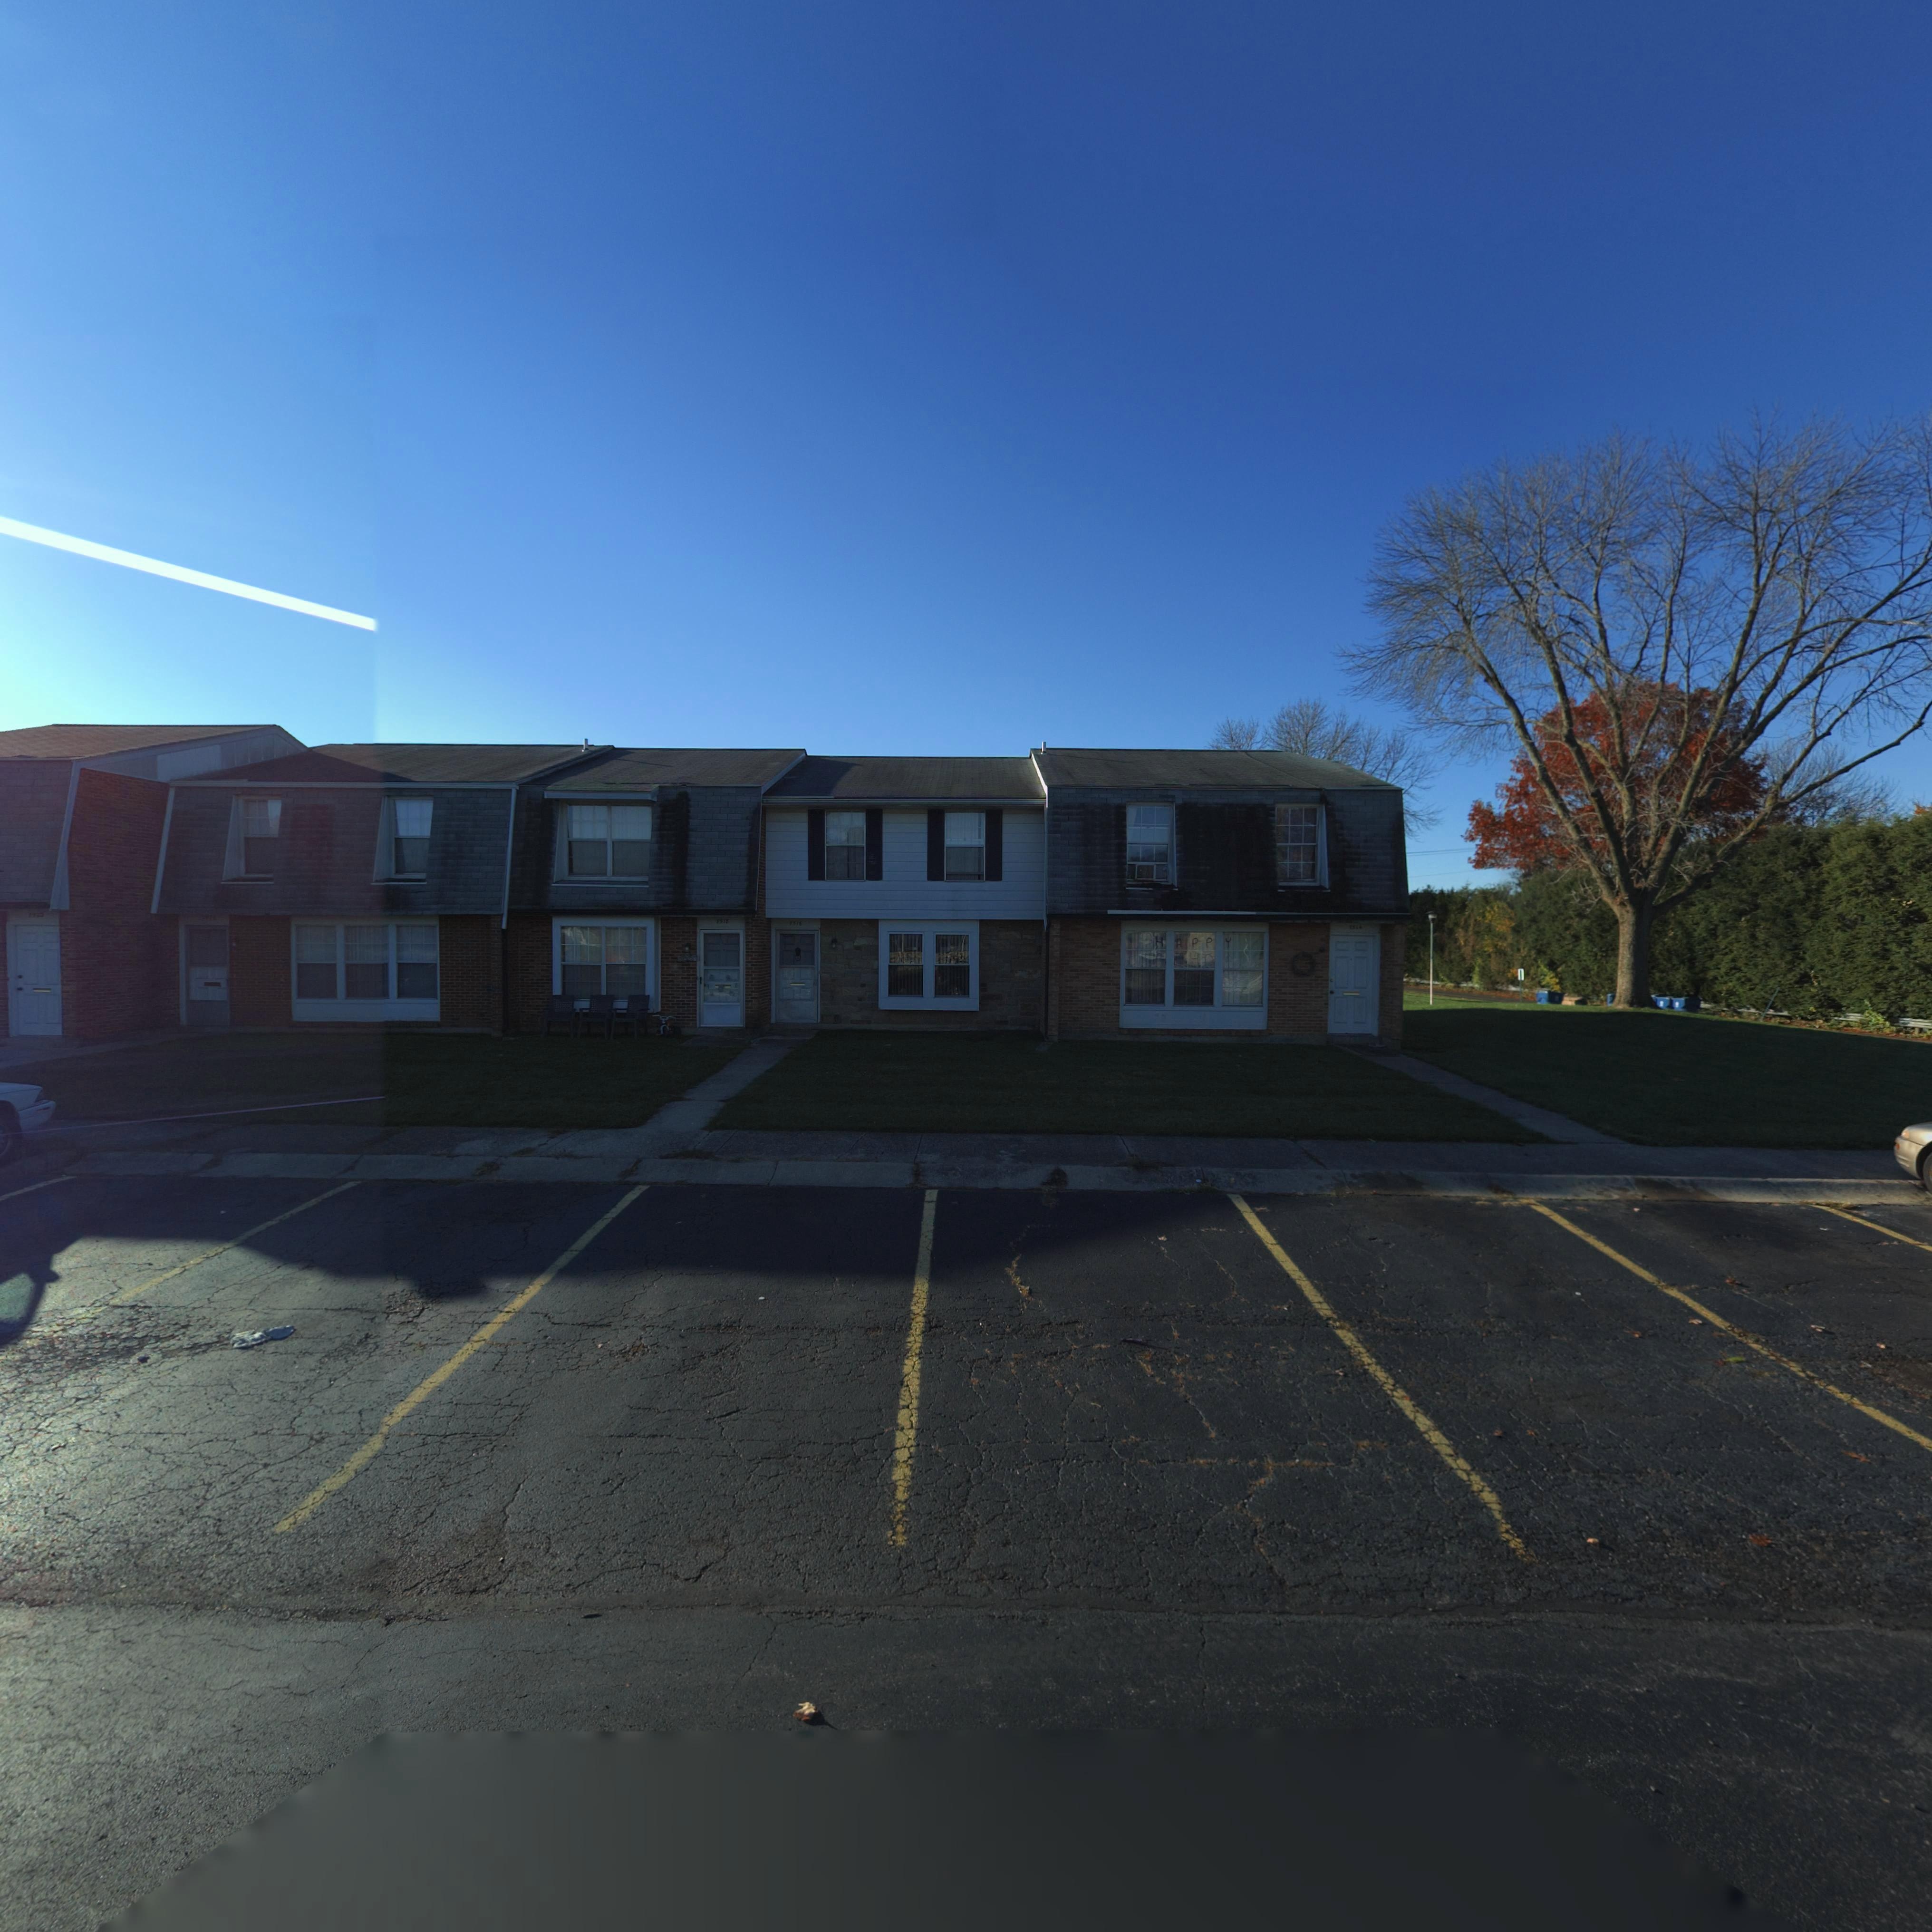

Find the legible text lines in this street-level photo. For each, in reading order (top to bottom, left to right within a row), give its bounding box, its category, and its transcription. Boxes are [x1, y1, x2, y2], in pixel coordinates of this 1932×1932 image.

[788, 920, 803, 927] StreetNumber: *516